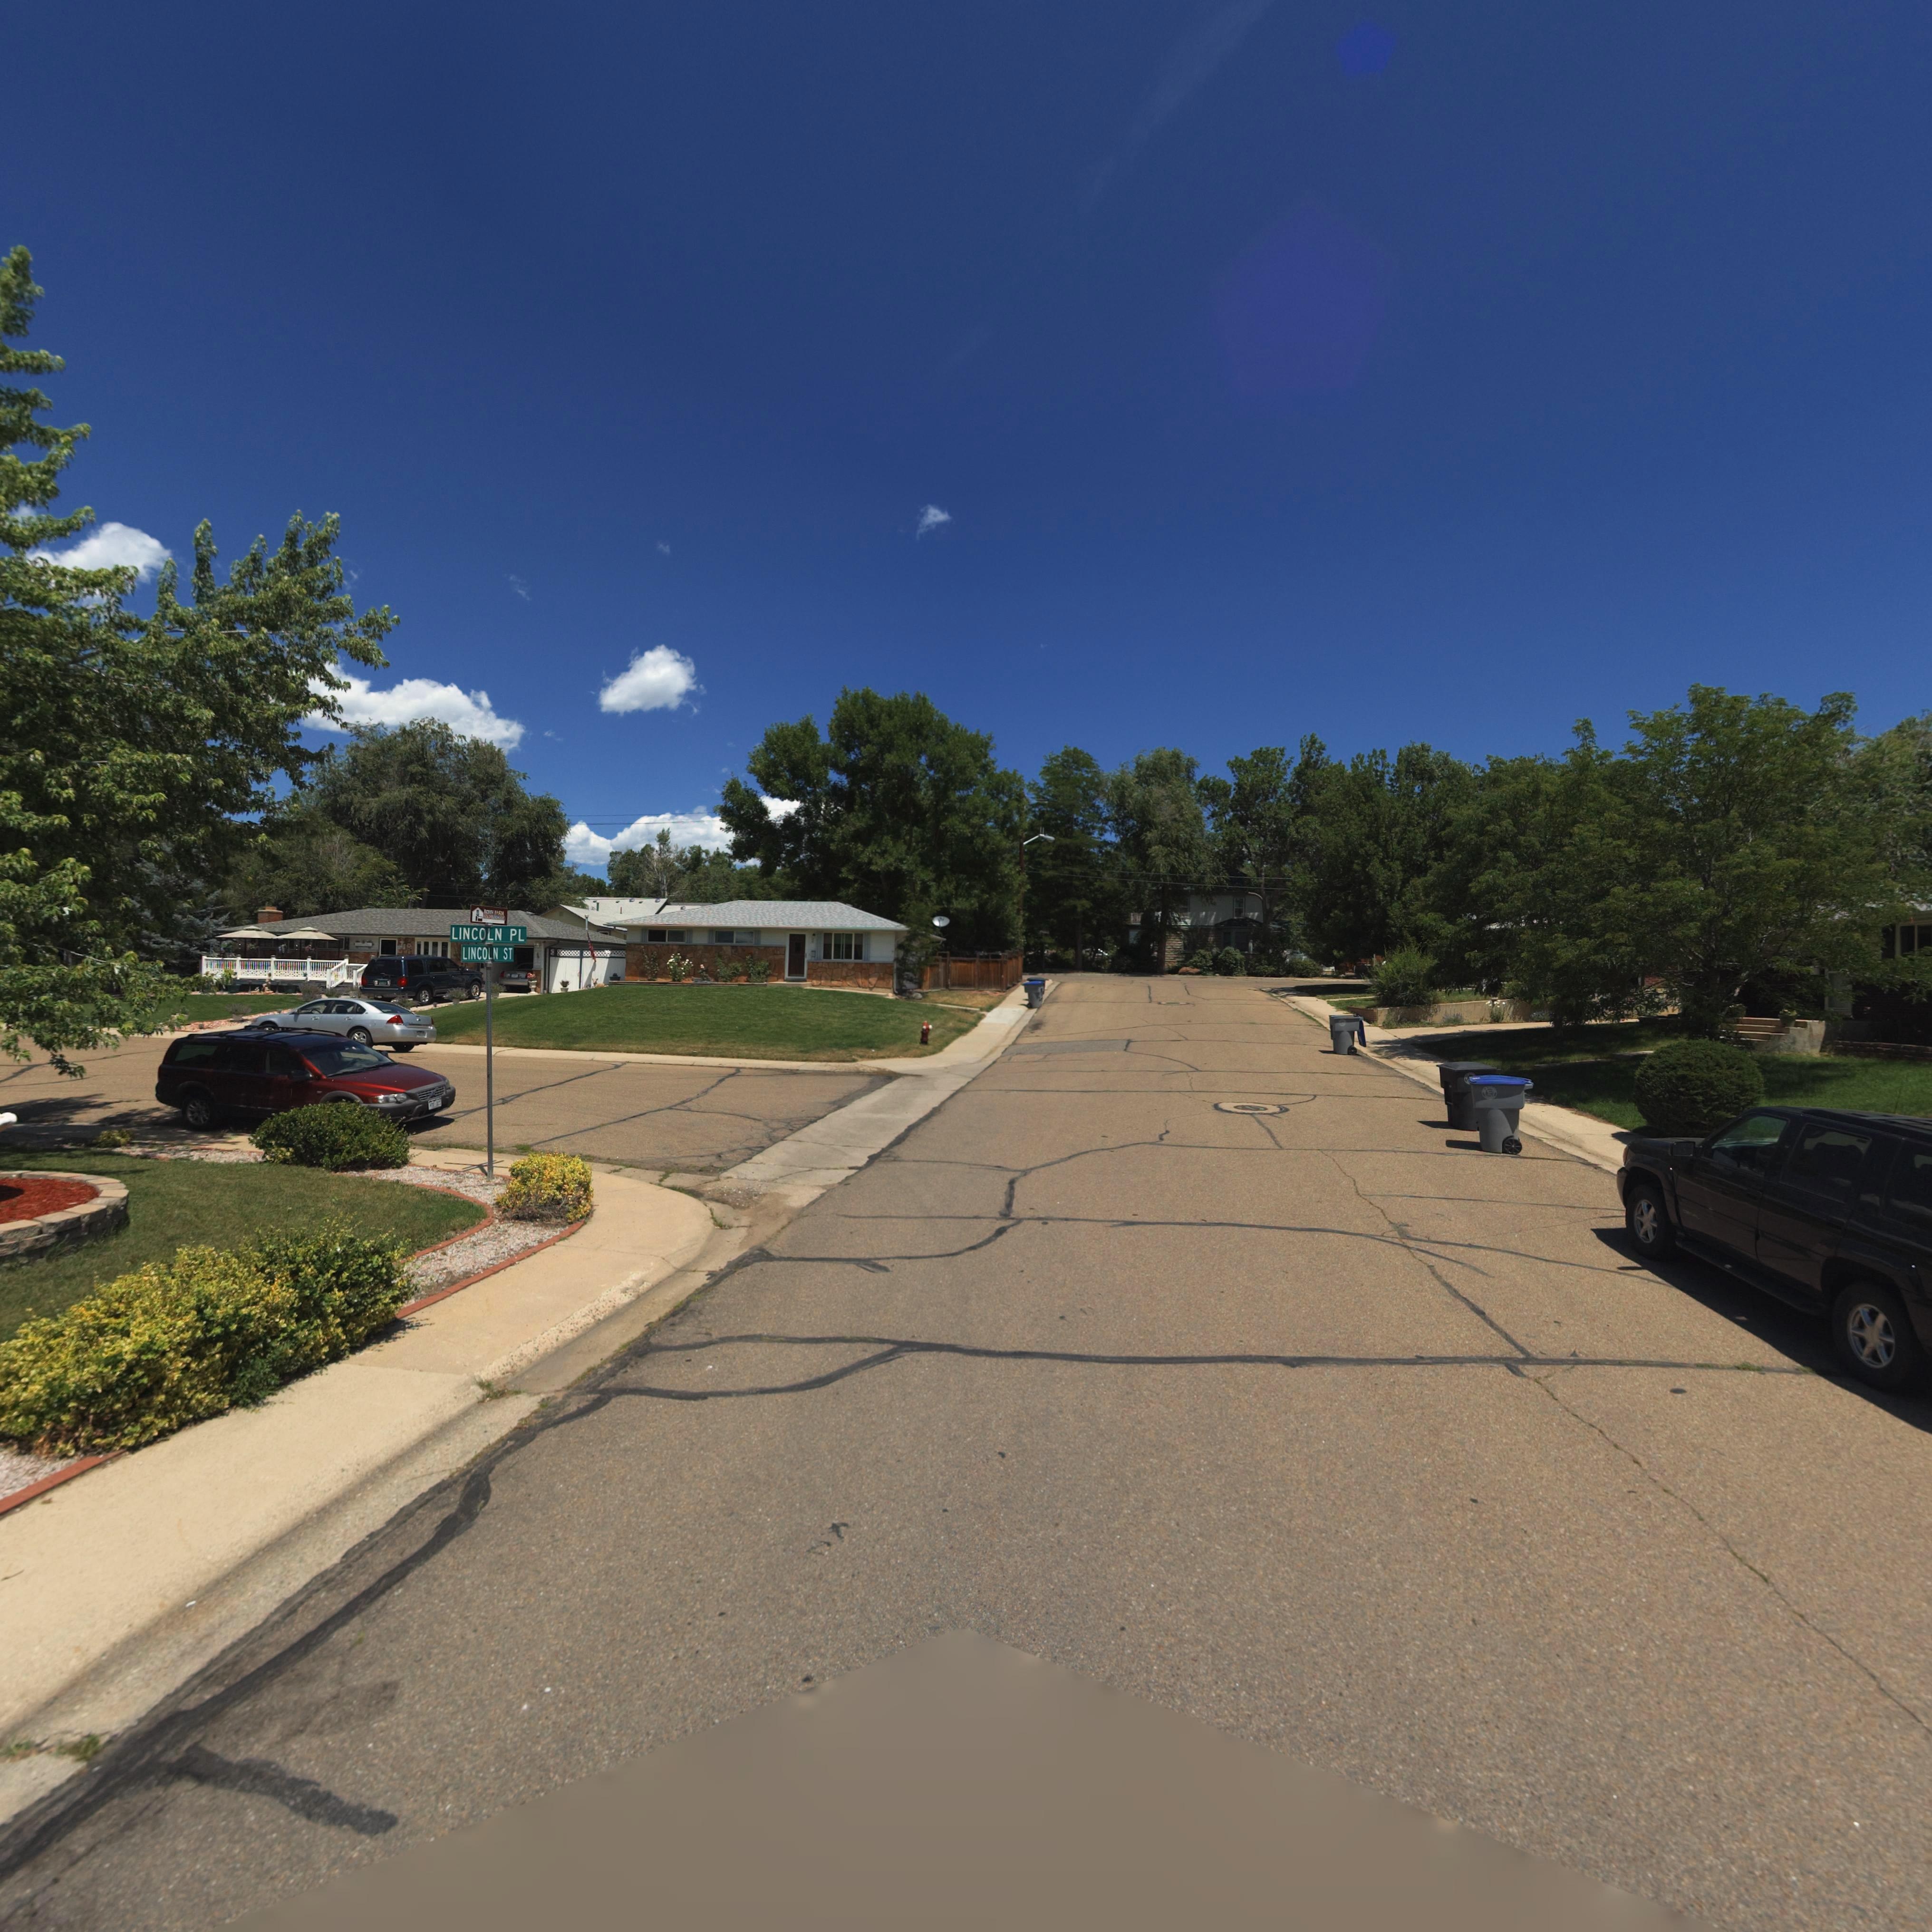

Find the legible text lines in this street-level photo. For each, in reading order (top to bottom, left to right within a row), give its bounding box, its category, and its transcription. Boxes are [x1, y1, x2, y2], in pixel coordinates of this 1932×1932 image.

[451, 927, 524, 941] StreetName: LINCOLN PL
[462, 947, 512, 960] StreetName: LINCOLN ST